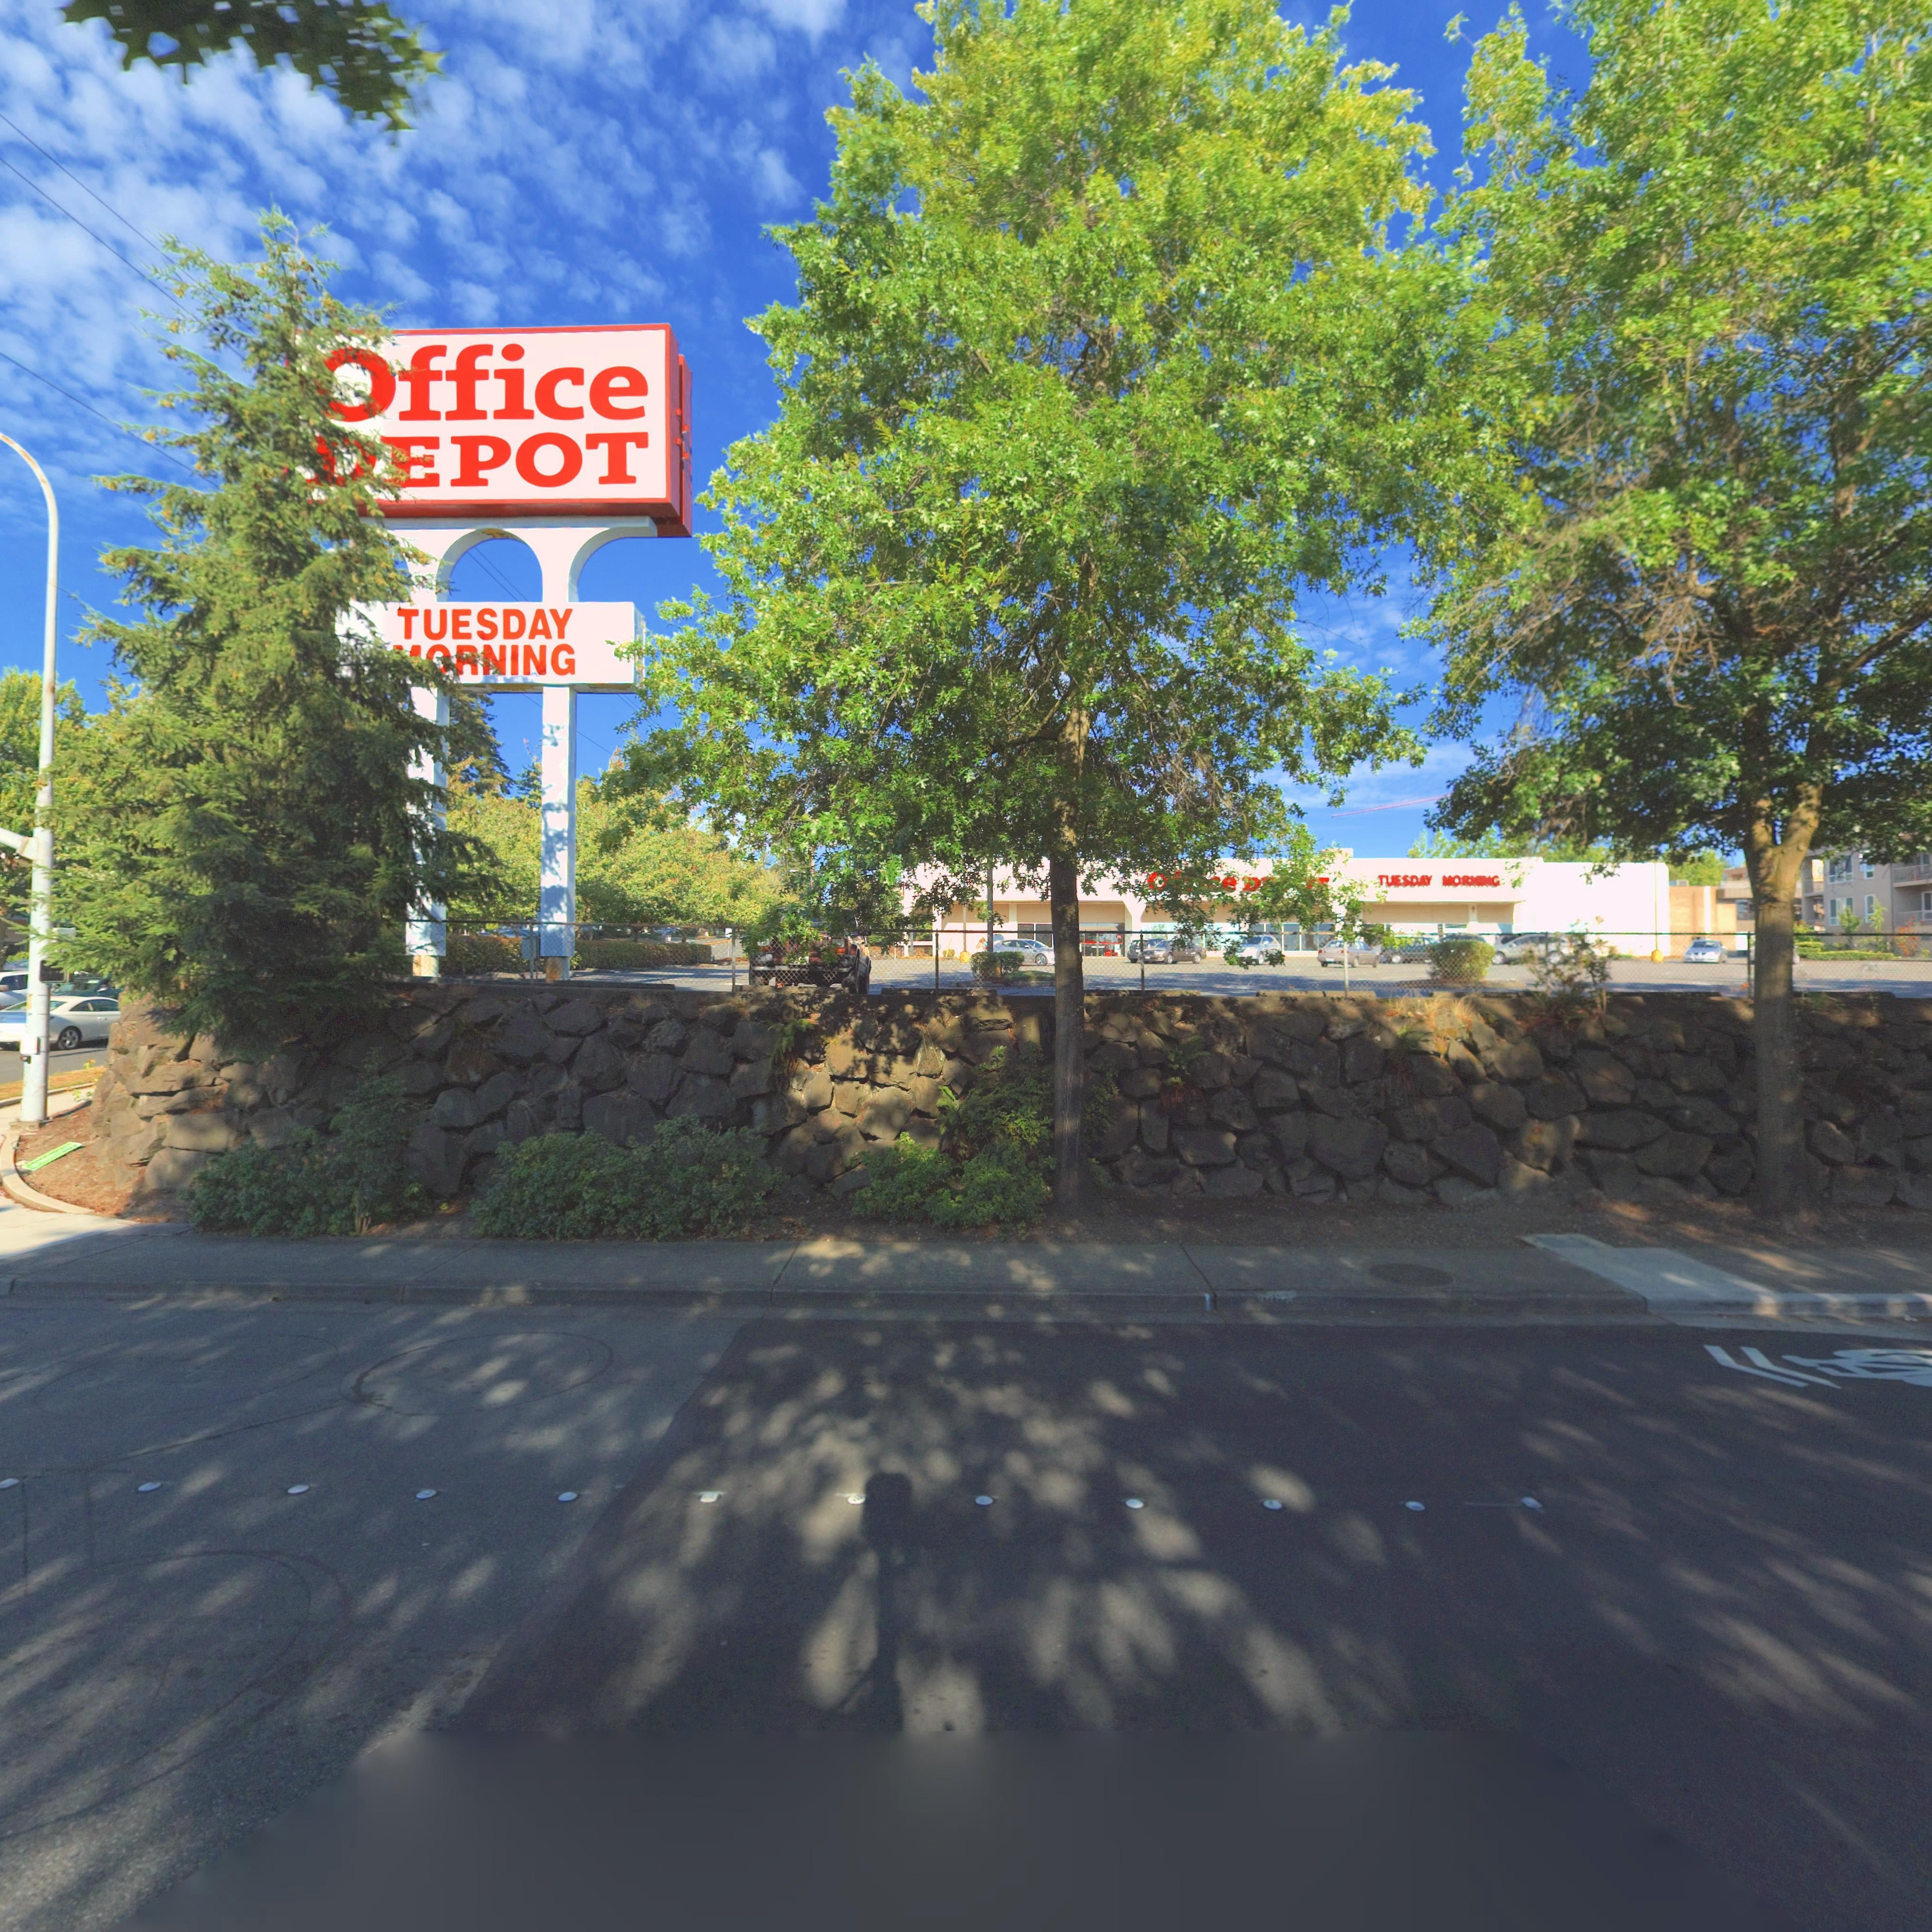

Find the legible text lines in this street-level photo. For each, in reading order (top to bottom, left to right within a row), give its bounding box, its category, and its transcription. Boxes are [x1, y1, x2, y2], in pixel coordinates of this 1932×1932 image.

[301, 427, 654, 495] BusinessName: DEPOT
[396, 607, 572, 640] BusinessName: TUESDAY
[1441, 874, 1504, 887] BusinessName: MORNING